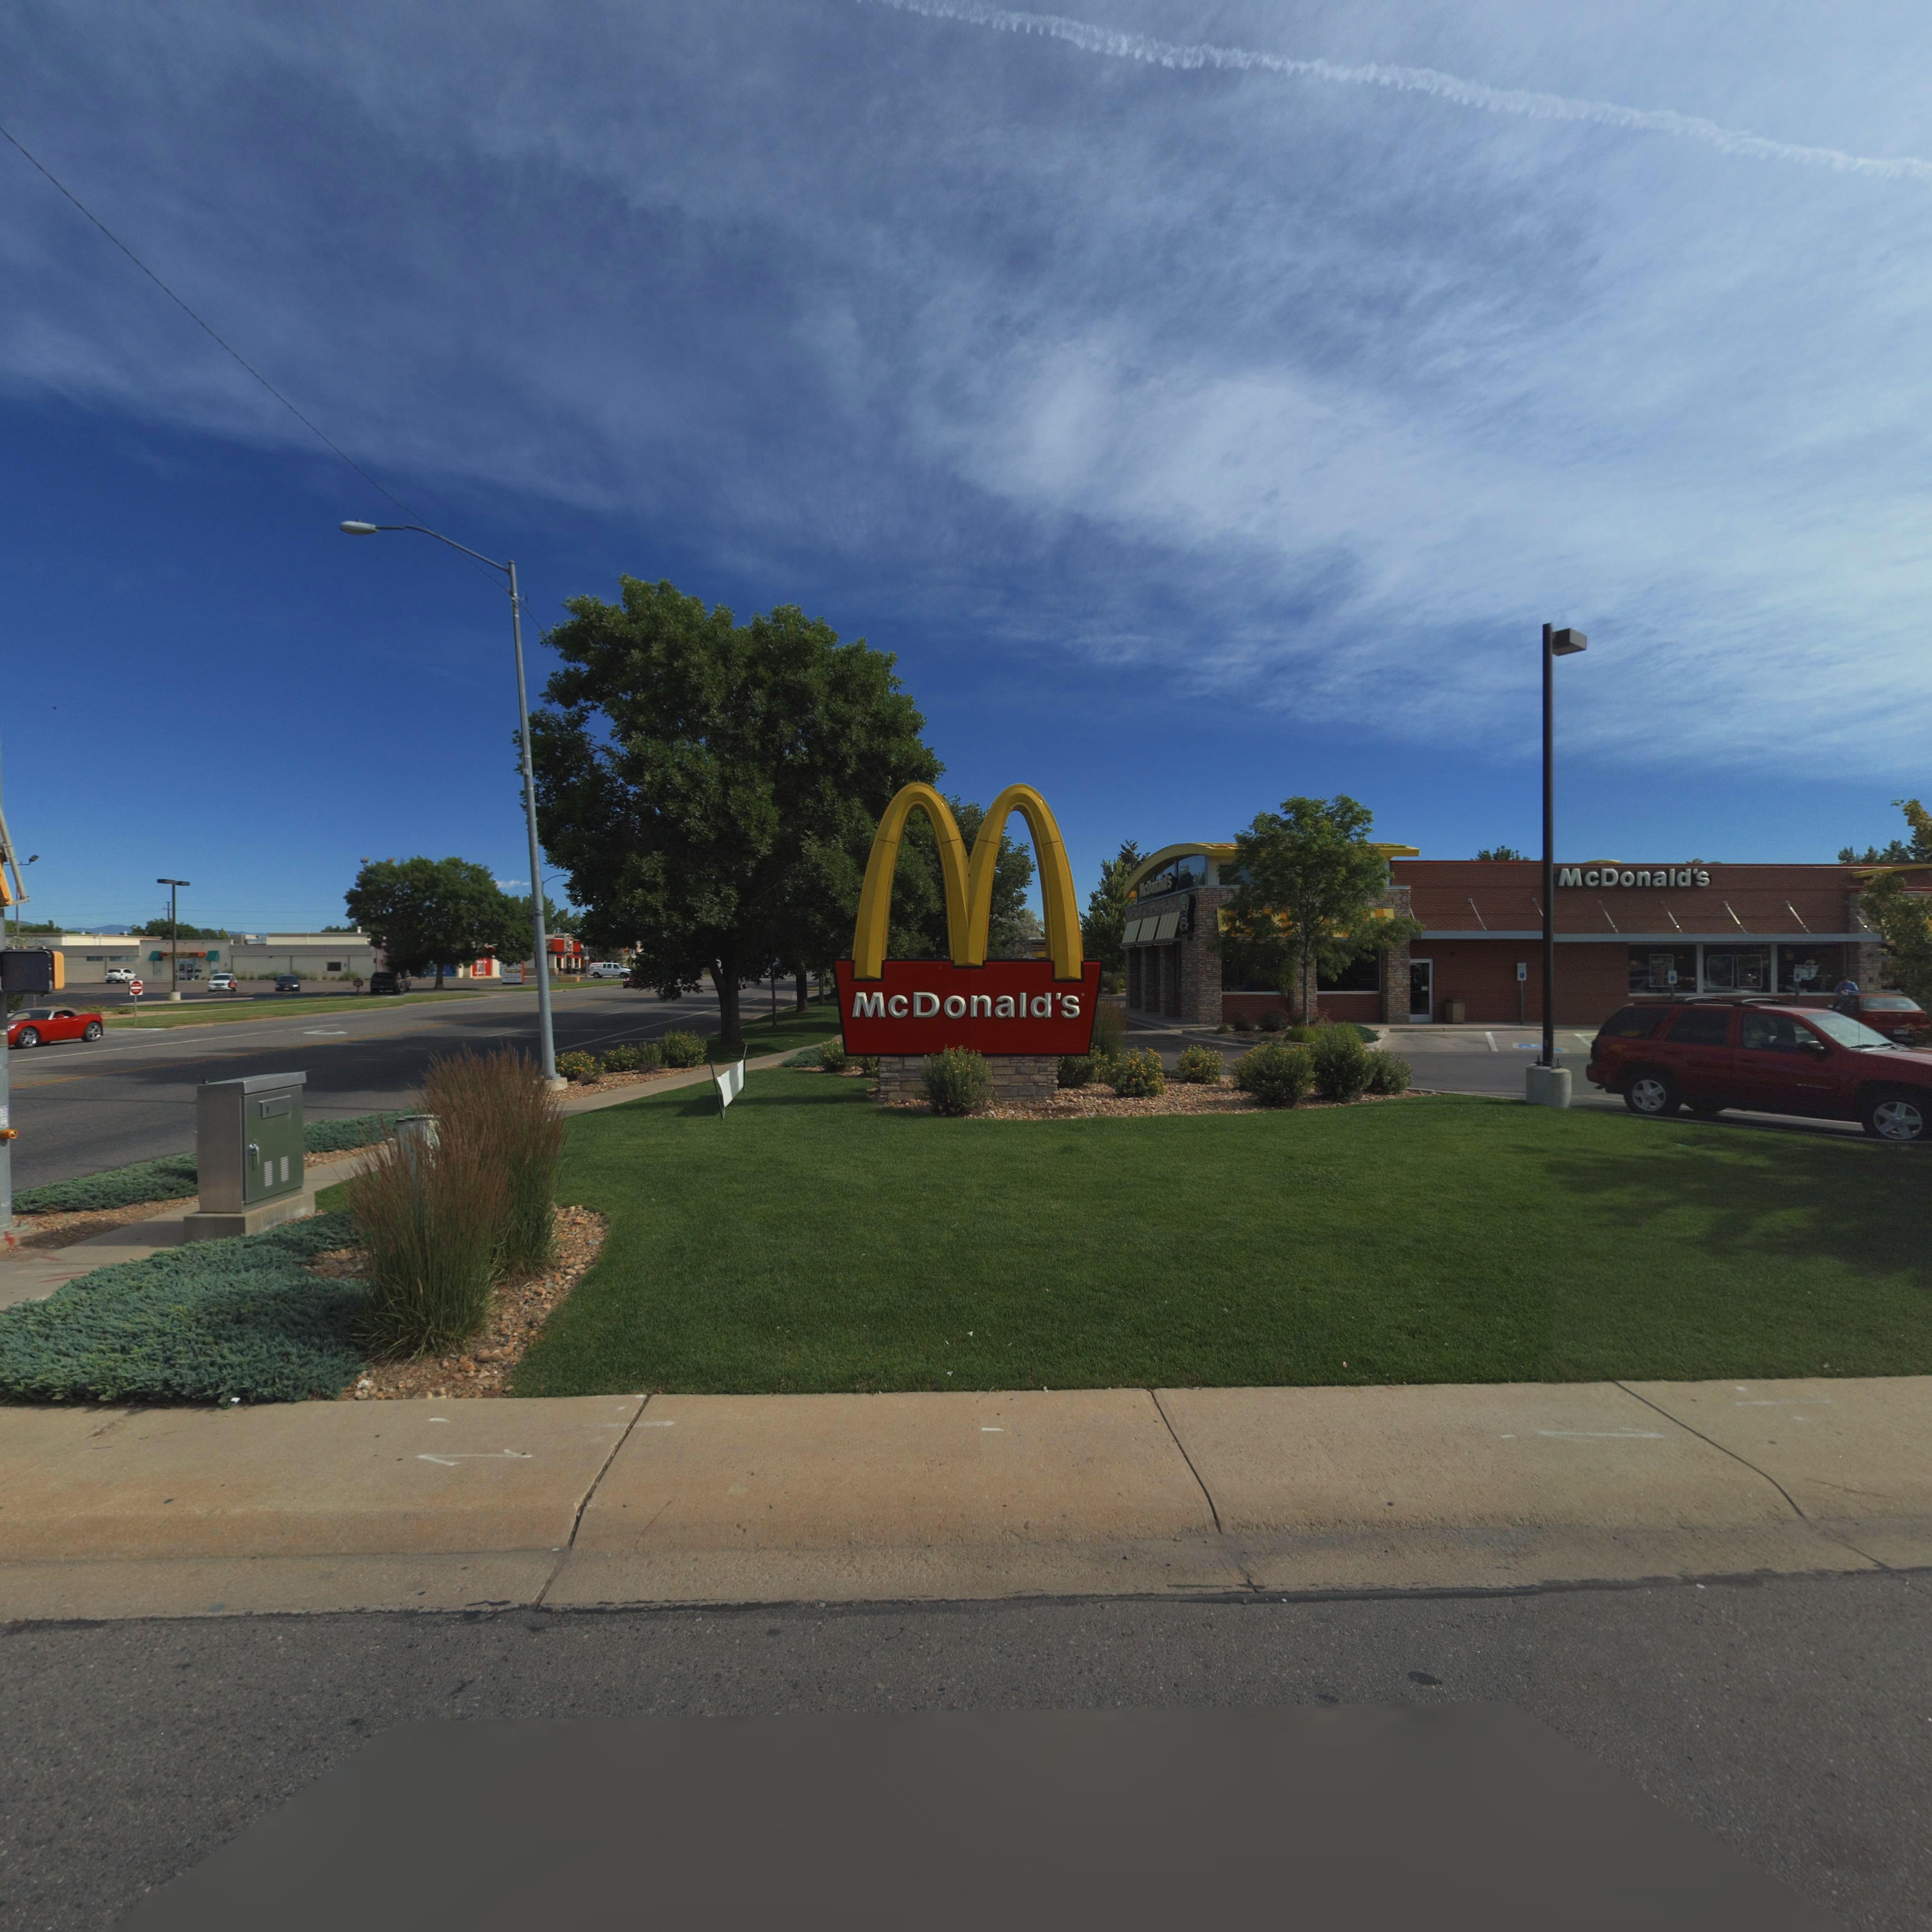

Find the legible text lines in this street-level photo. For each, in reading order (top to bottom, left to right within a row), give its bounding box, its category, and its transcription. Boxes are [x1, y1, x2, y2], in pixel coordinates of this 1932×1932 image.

[1138, 871, 1172, 898] BusinessName: McD***ld's
[1556, 866, 1711, 887] BusinessName: McDonald's
[165, 950, 189, 957] BusinessName: S**C**
[848, 989, 1081, 1020] BusinessName: McDonald's